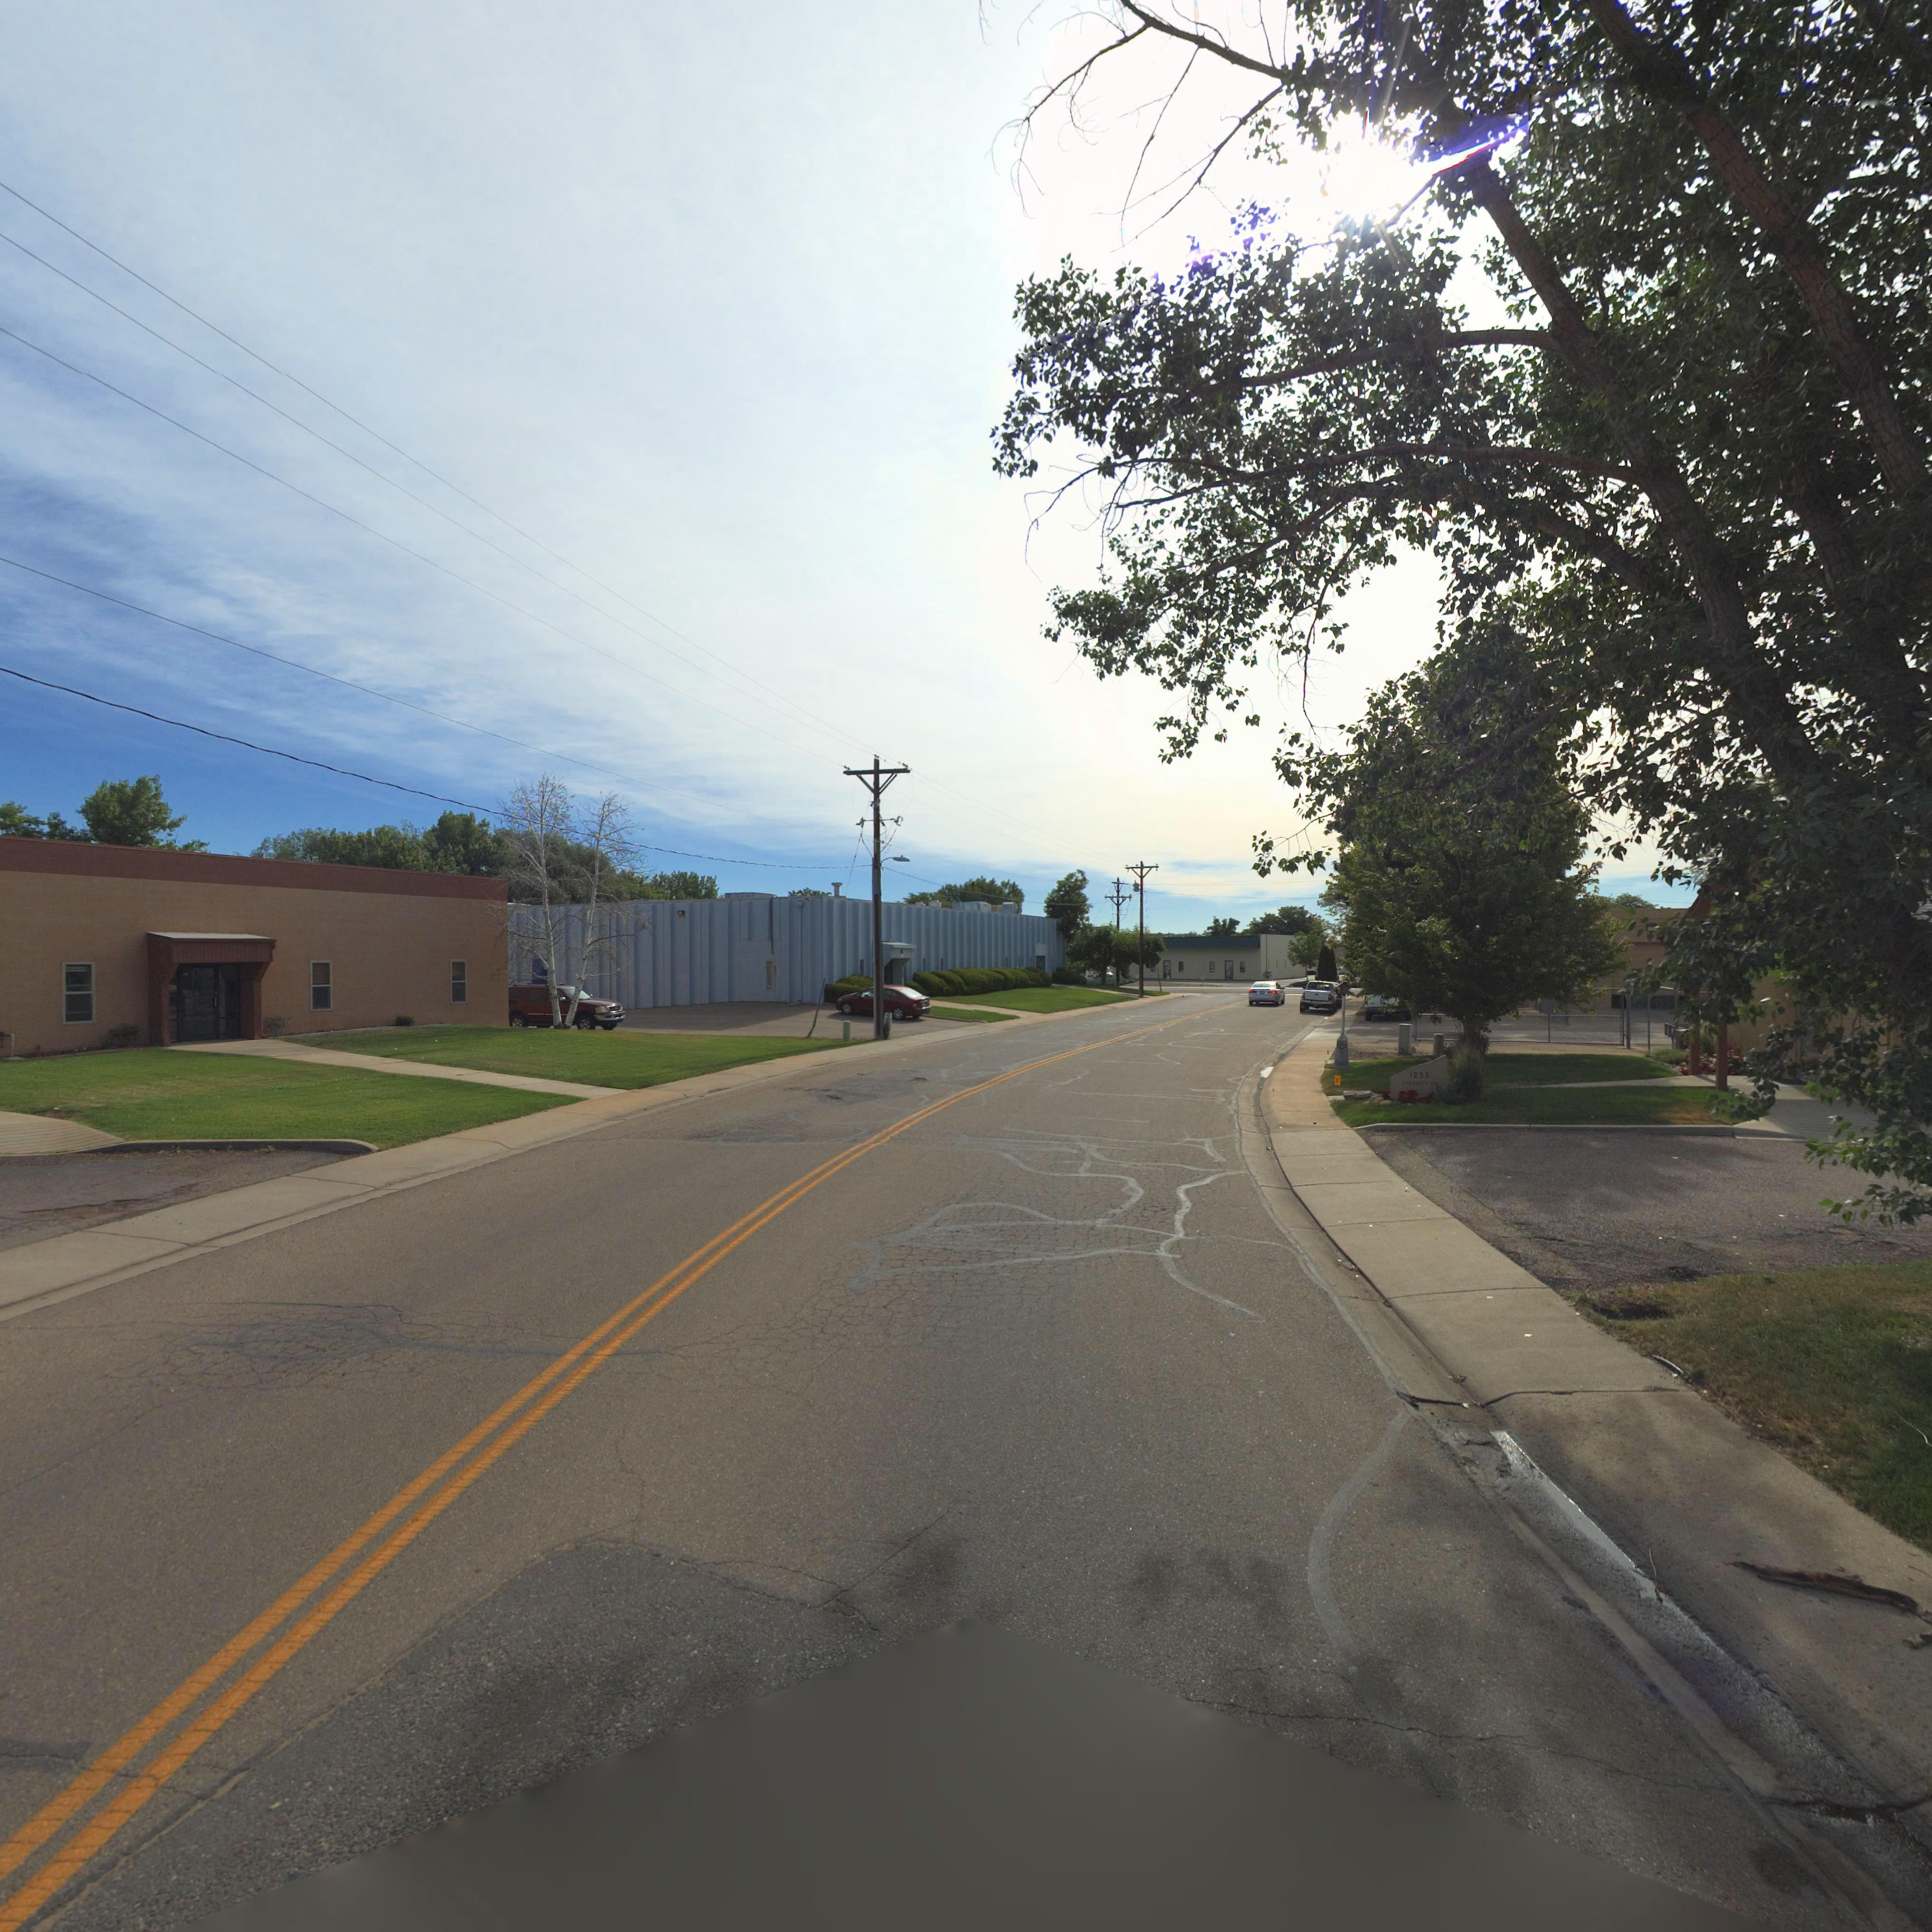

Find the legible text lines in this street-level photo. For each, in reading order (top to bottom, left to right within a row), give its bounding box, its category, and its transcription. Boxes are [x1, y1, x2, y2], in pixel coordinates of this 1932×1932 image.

[1410, 1071, 1430, 1078] StreetNumber: 1233
[1401, 1080, 1439, 1086] StreetName: SHERMAN DR